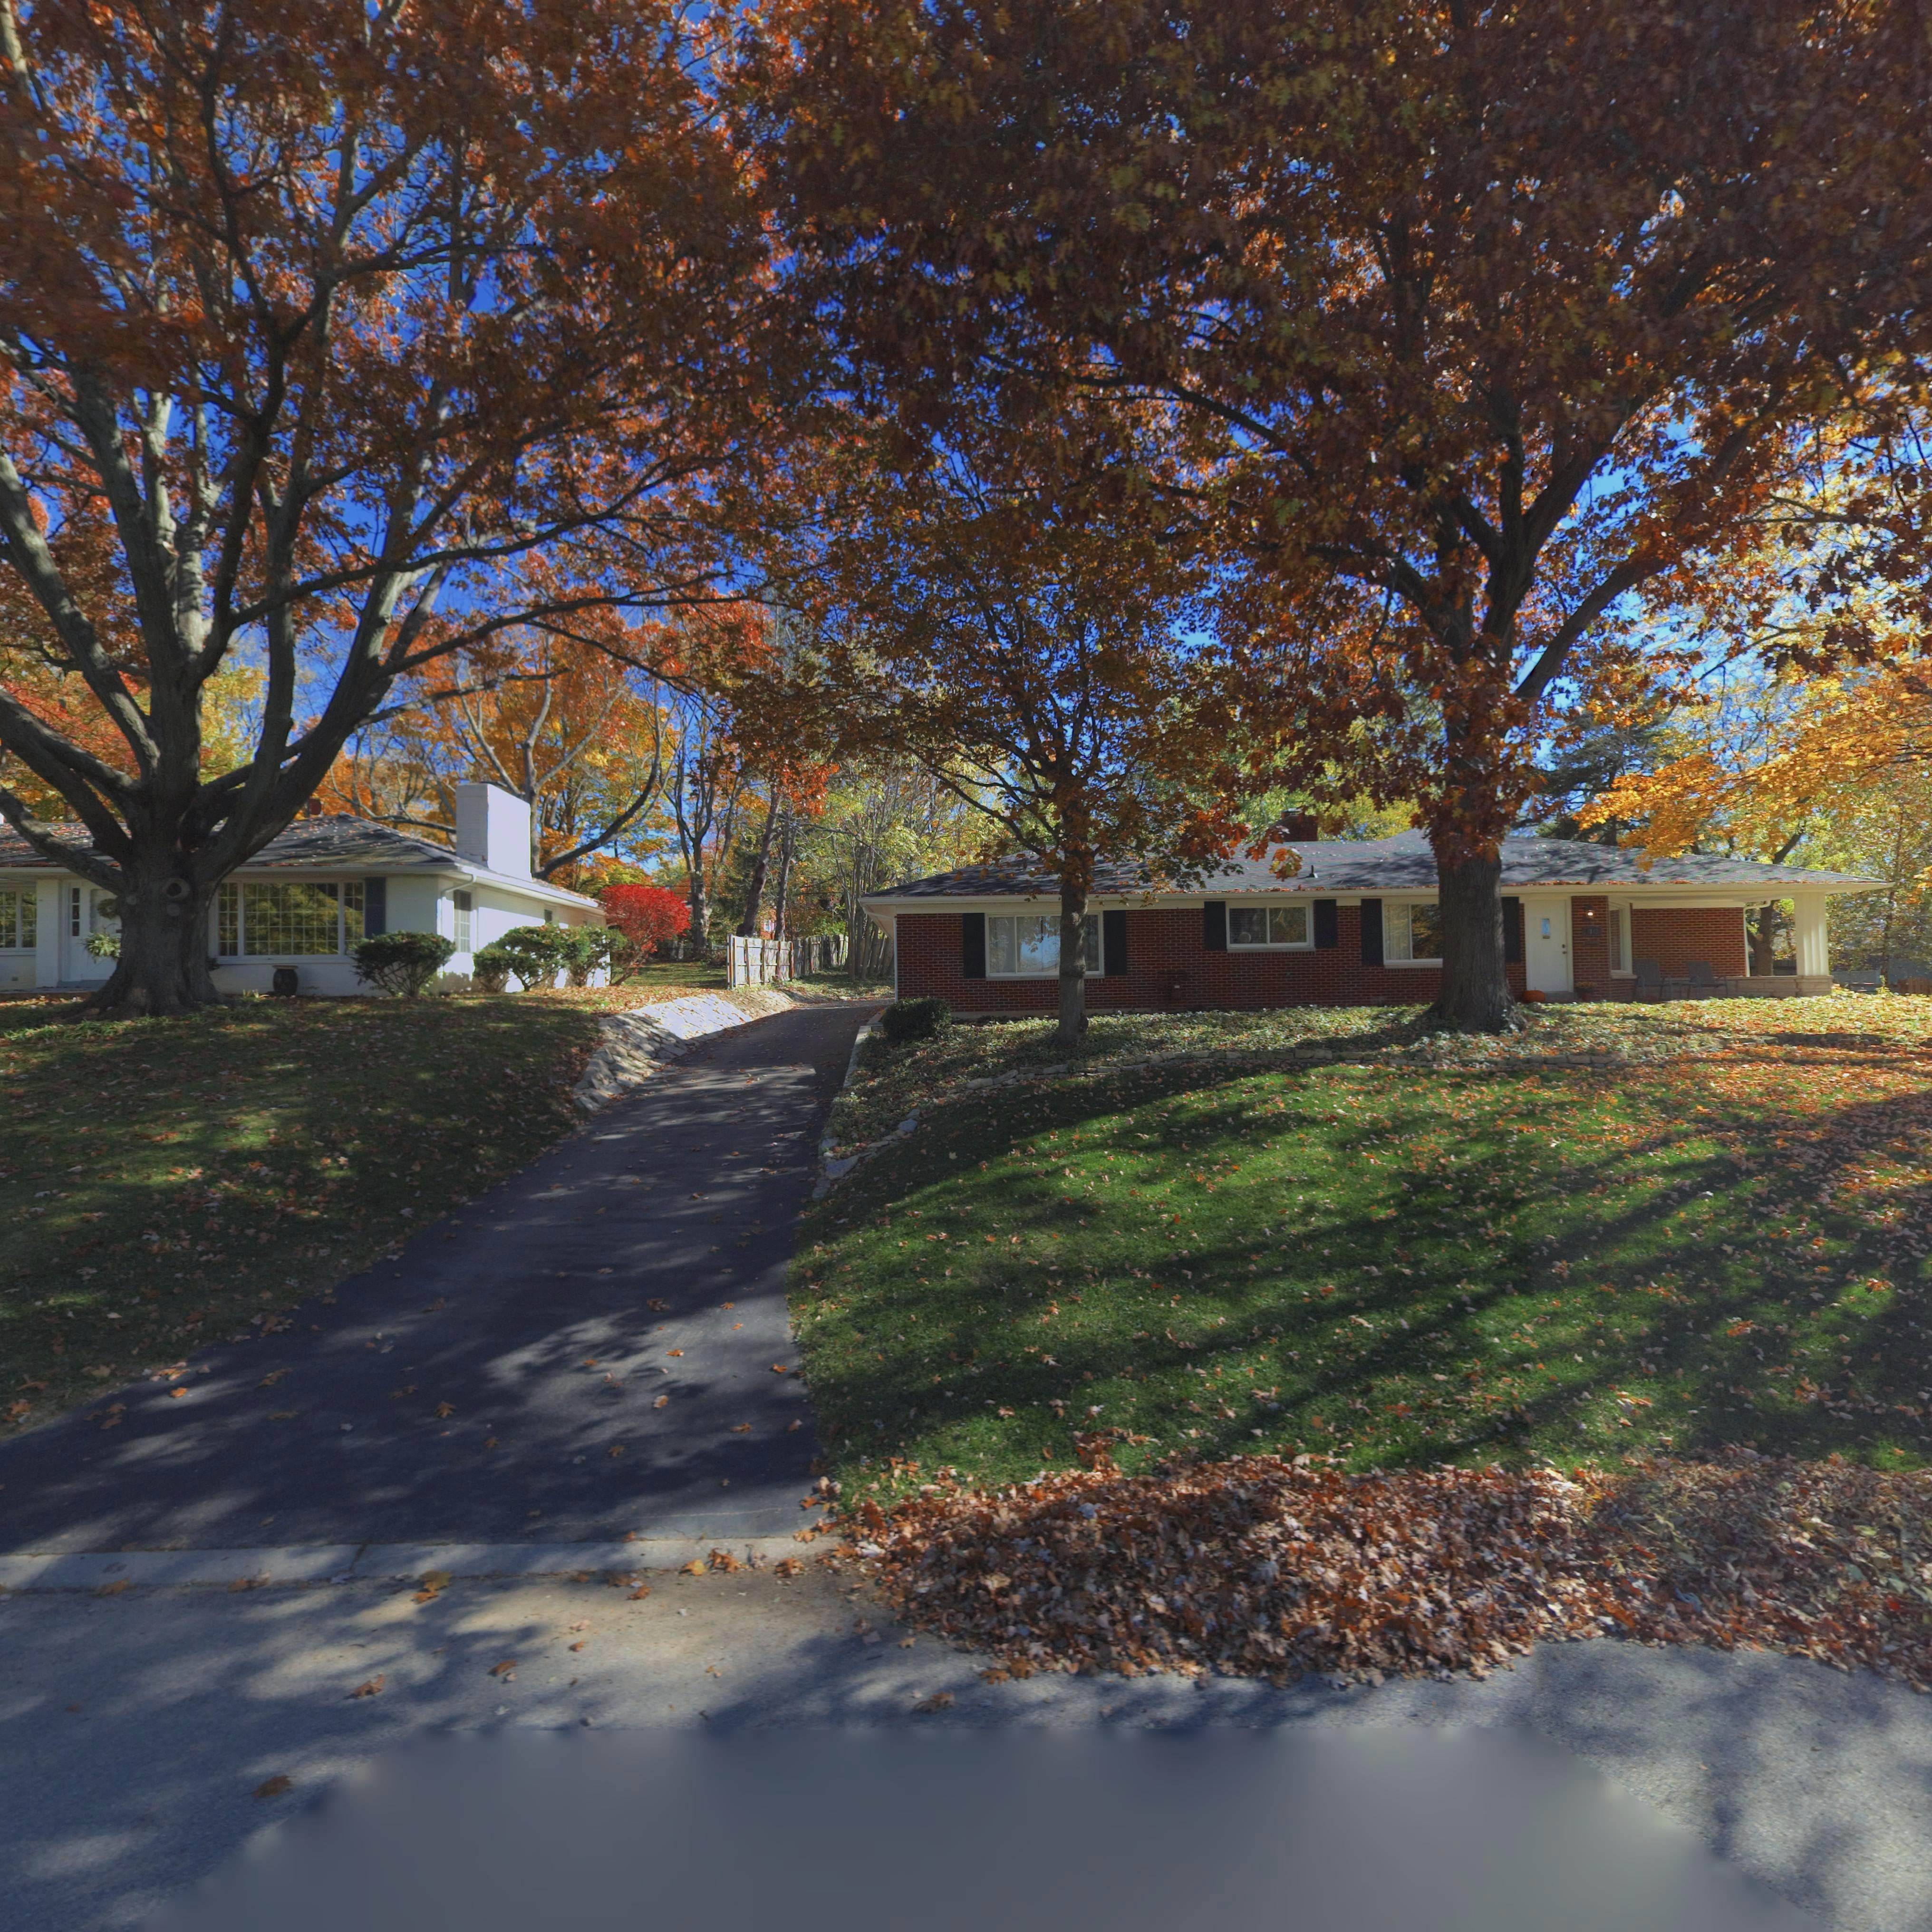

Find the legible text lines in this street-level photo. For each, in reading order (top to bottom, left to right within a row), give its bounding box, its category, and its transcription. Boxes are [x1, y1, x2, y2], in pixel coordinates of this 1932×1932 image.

[1585, 928, 1599, 935] StreetNumber: ***2